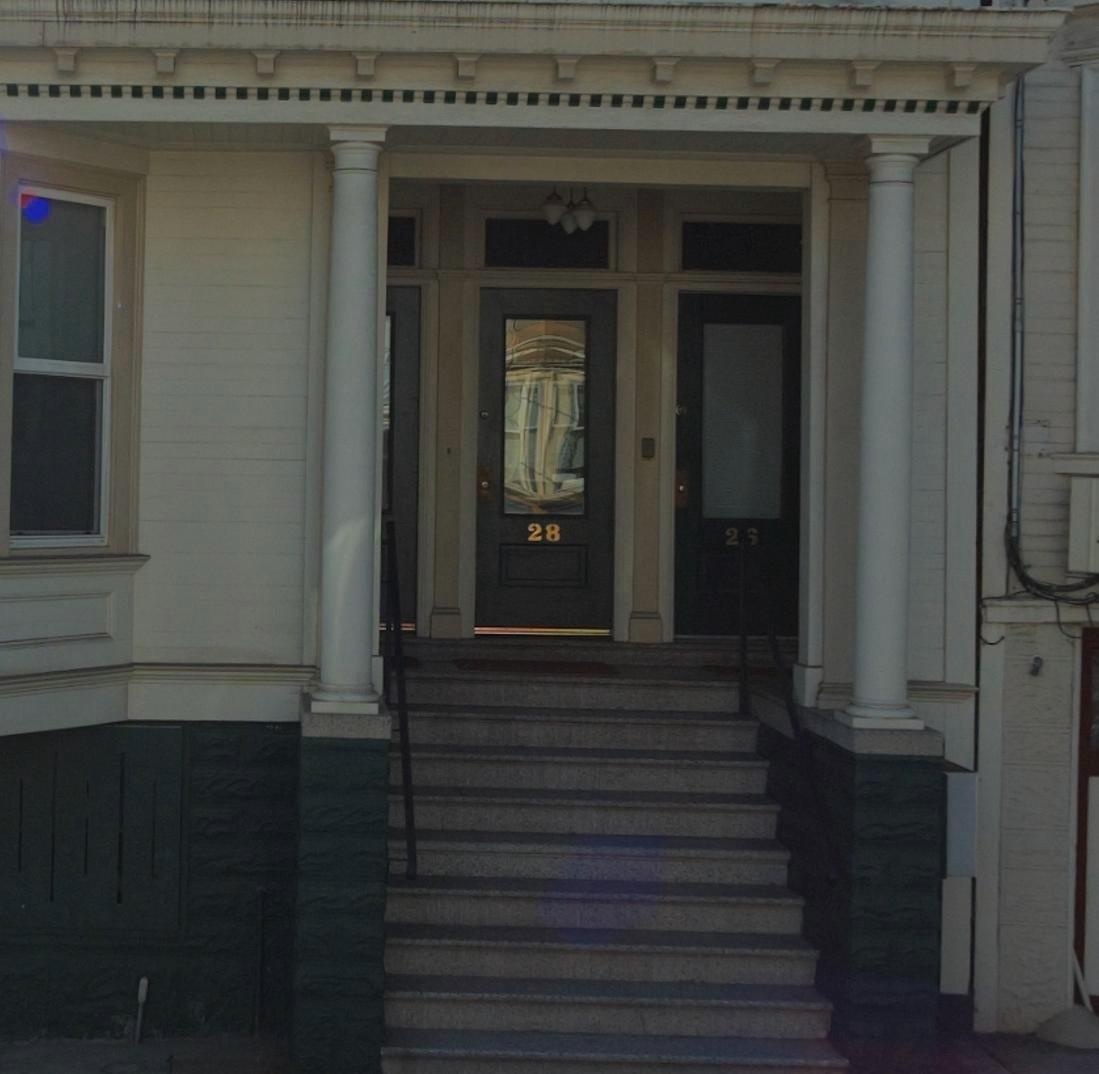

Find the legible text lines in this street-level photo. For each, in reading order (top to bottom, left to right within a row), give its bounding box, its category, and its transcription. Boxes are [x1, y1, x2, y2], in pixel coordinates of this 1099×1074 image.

[526, 521, 562, 543] StreetNumber: 28
[723, 526, 759, 546] StreetNumber: 2*